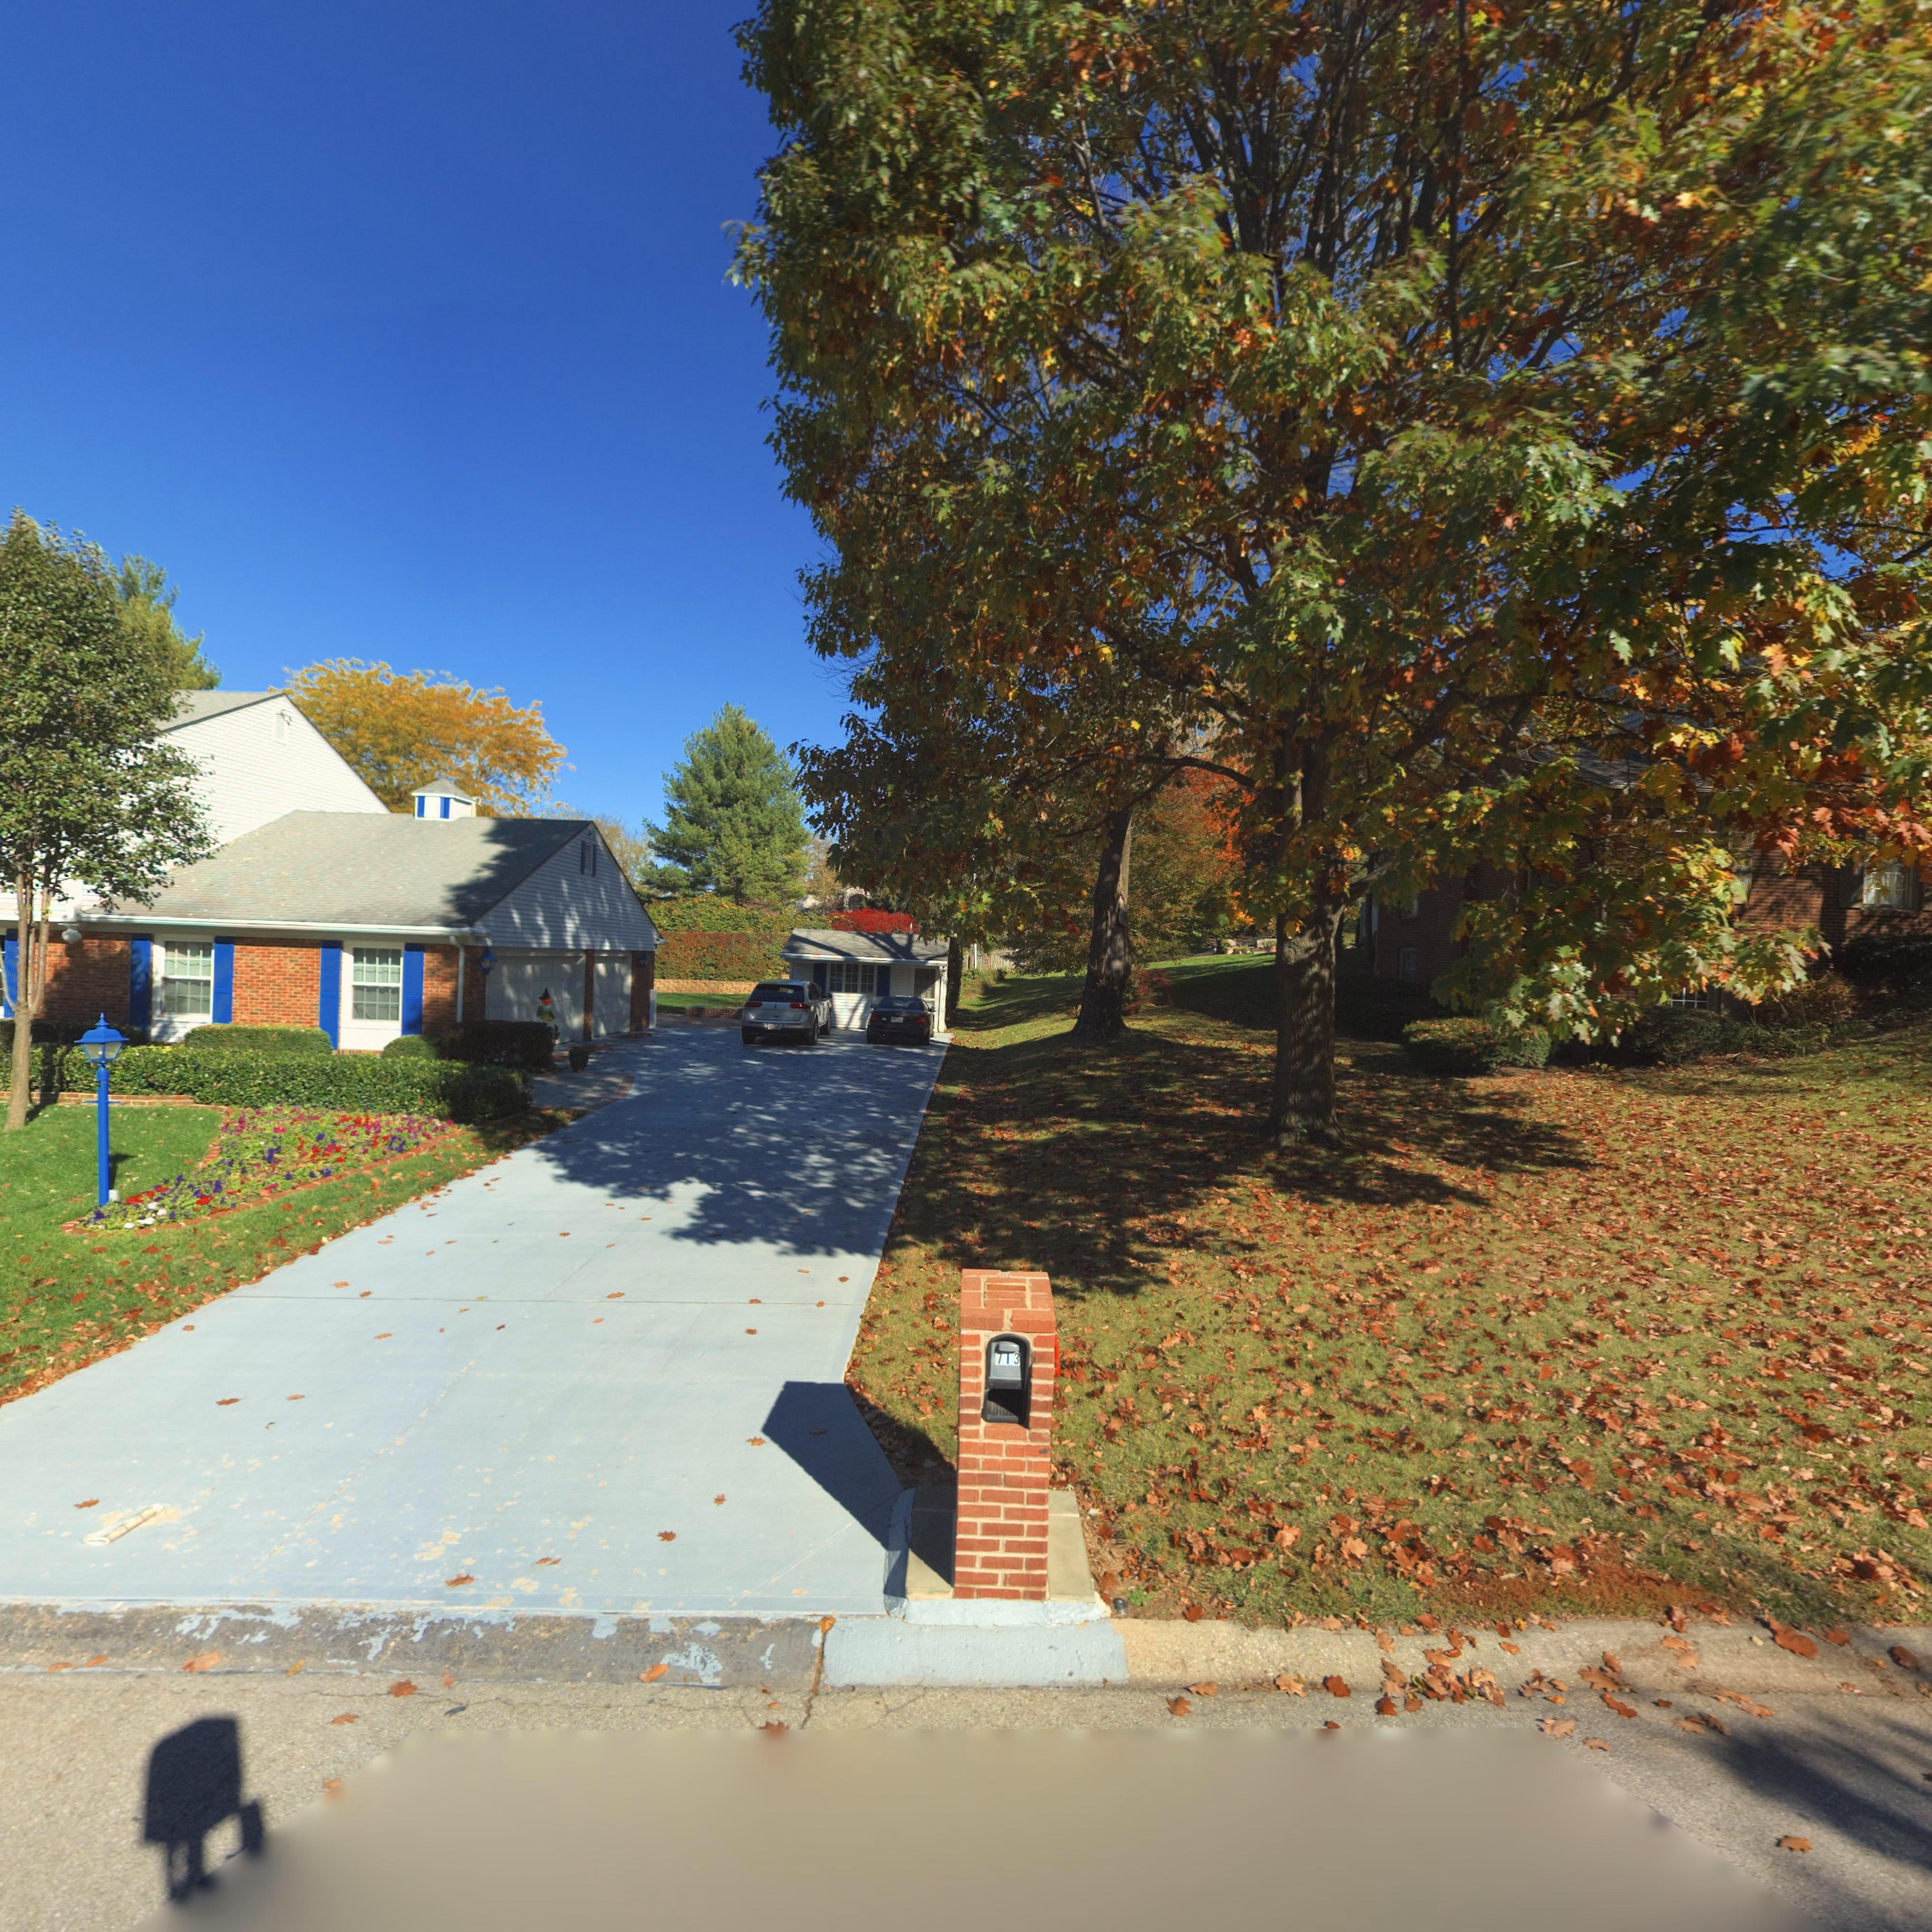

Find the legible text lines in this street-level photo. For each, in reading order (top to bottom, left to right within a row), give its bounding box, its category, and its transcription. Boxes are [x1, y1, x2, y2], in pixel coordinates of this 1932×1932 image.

[996, 1352, 1020, 1364] StreetNumber: 713